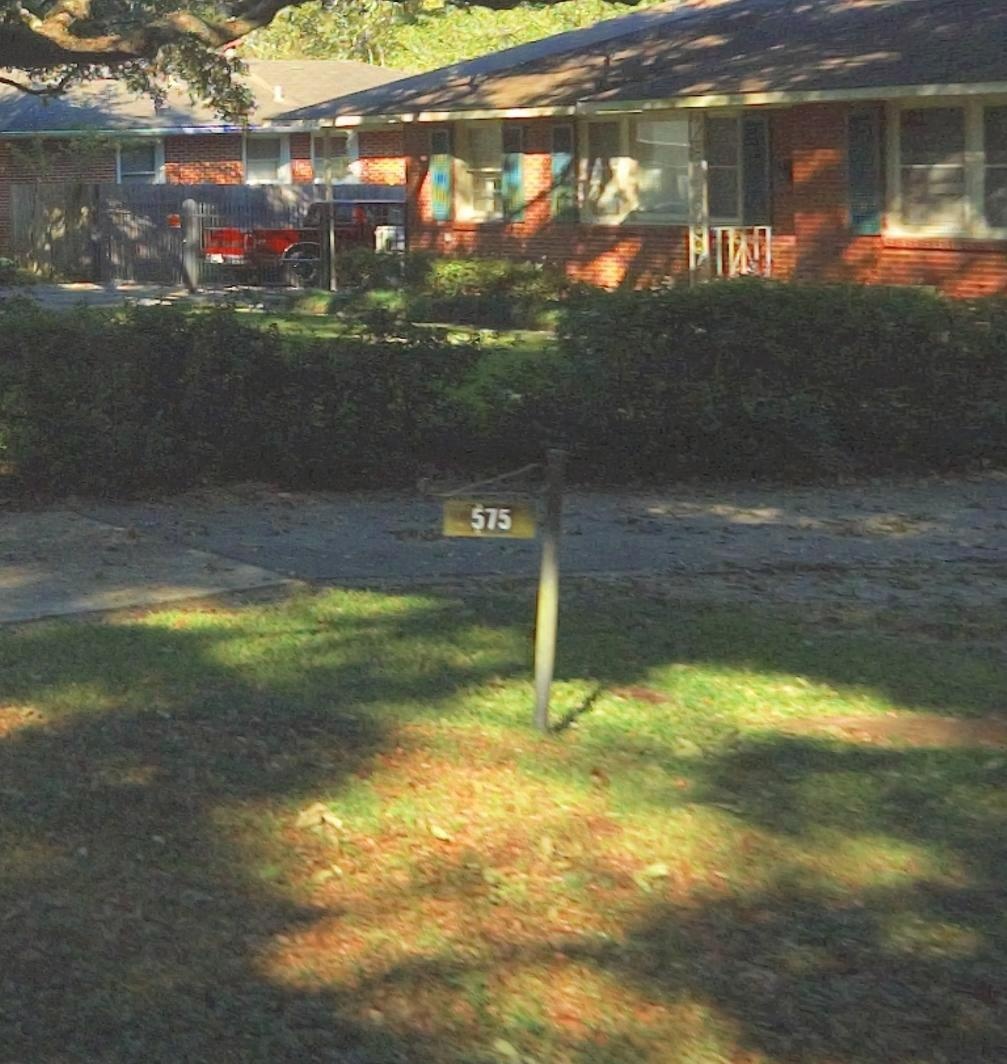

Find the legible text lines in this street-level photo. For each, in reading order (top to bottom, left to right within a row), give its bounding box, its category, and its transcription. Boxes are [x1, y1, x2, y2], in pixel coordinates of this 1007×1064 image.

[470, 506, 514, 531] StreetNumber: 575